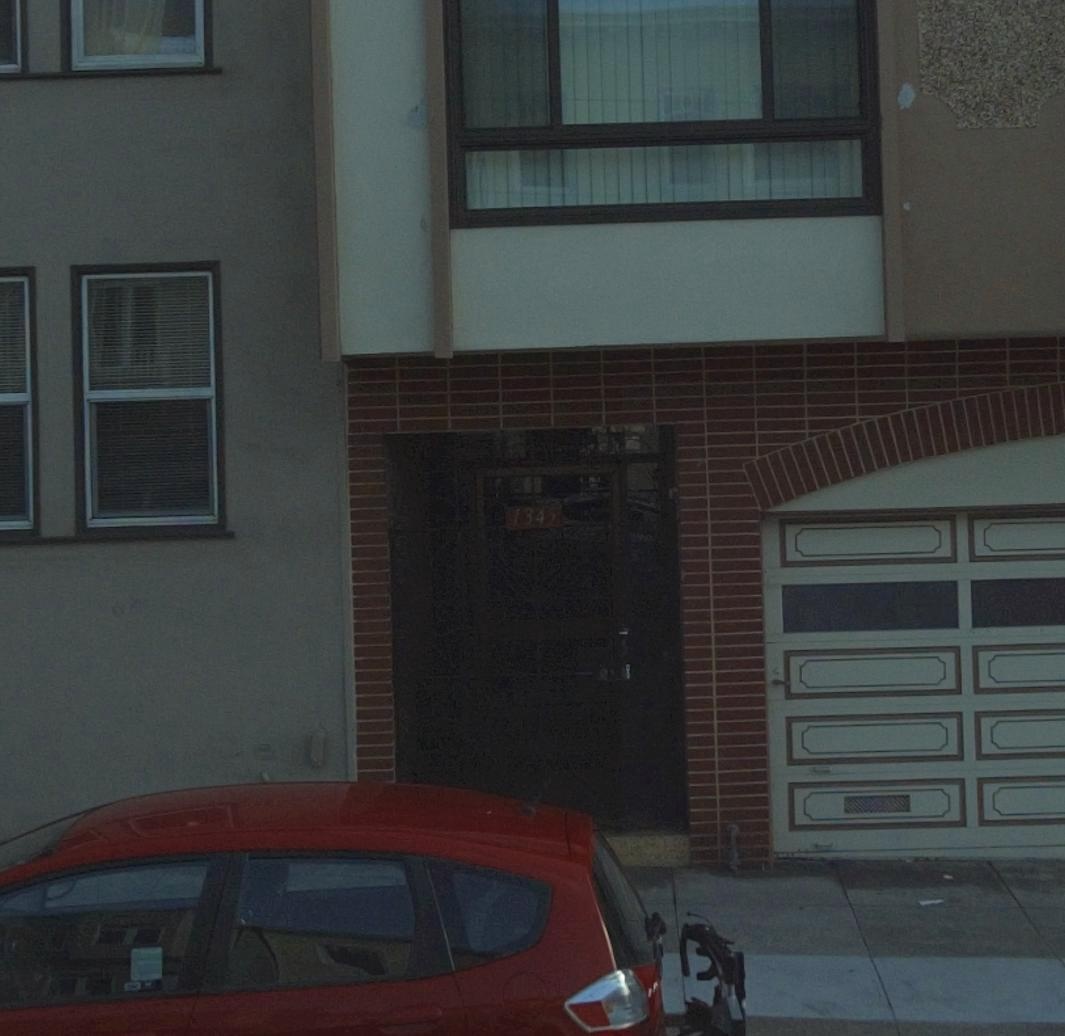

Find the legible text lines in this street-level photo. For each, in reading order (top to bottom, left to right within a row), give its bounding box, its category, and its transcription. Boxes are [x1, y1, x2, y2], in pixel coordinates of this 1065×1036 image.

[509, 505, 561, 529] StreetNumber: 1342